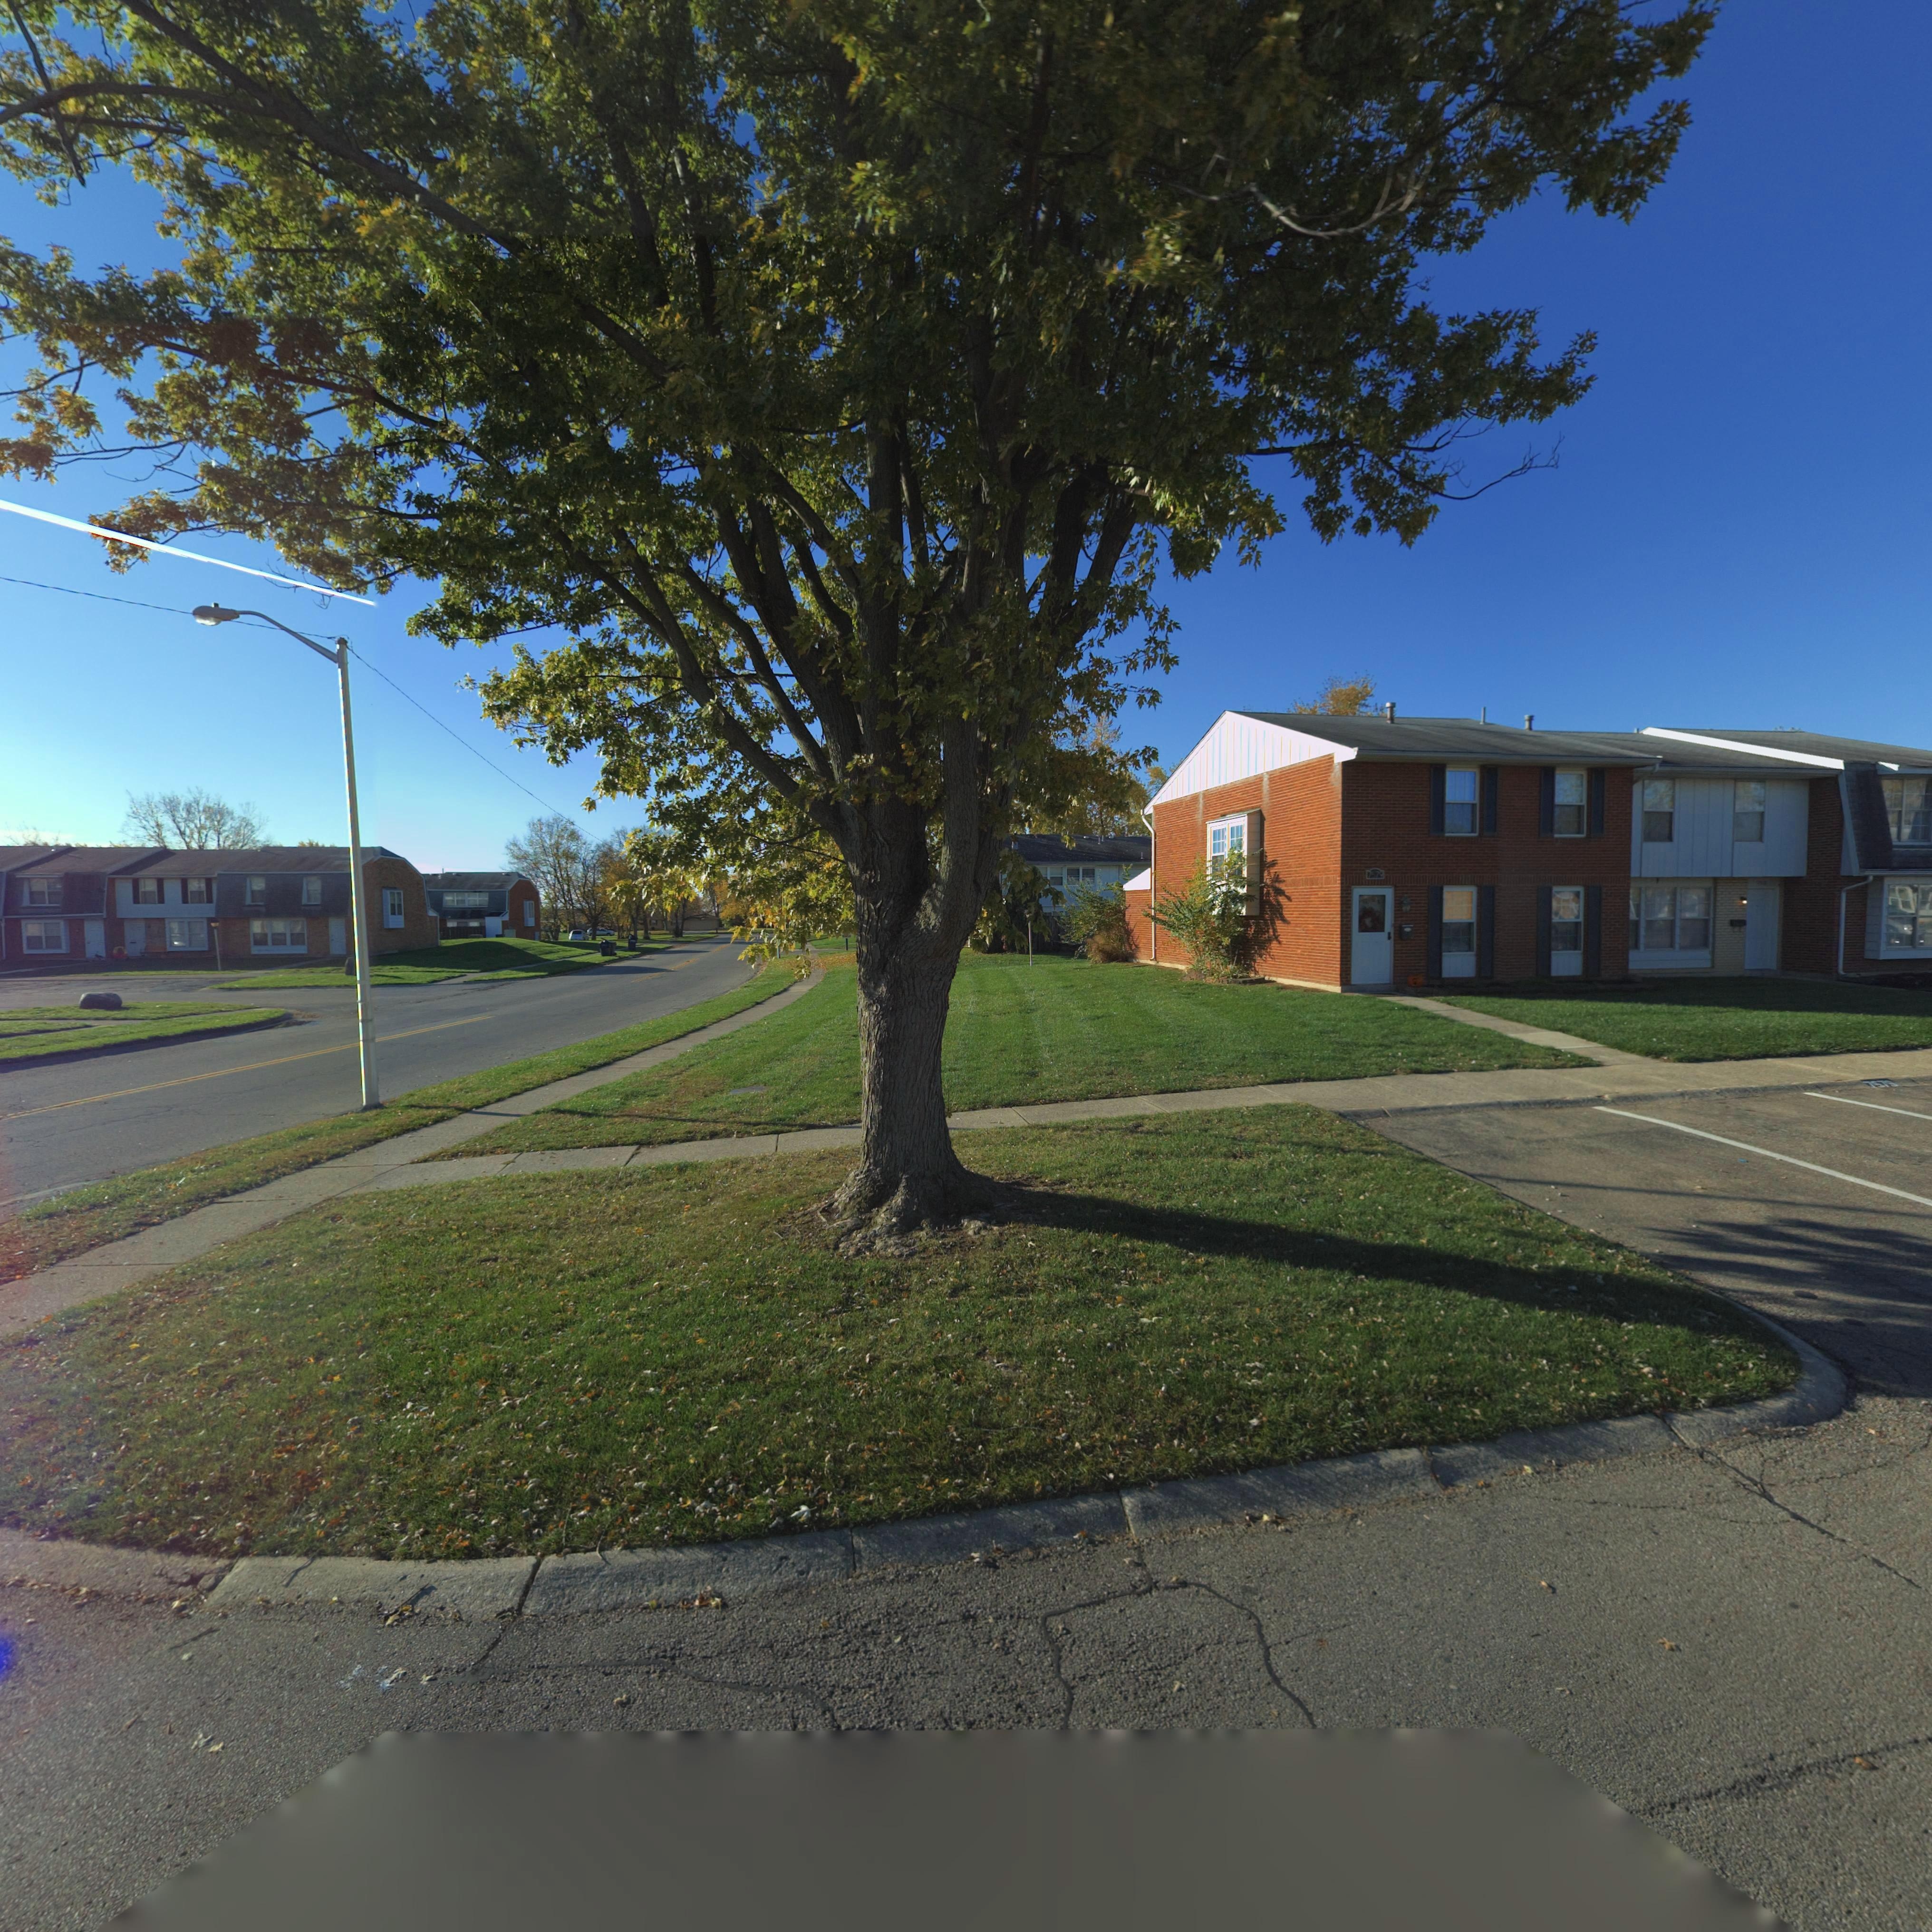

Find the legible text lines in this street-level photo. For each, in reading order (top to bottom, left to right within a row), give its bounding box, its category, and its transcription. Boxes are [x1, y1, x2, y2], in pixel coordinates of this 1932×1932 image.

[1367, 870, 1384, 879] StreetNumber: 7579